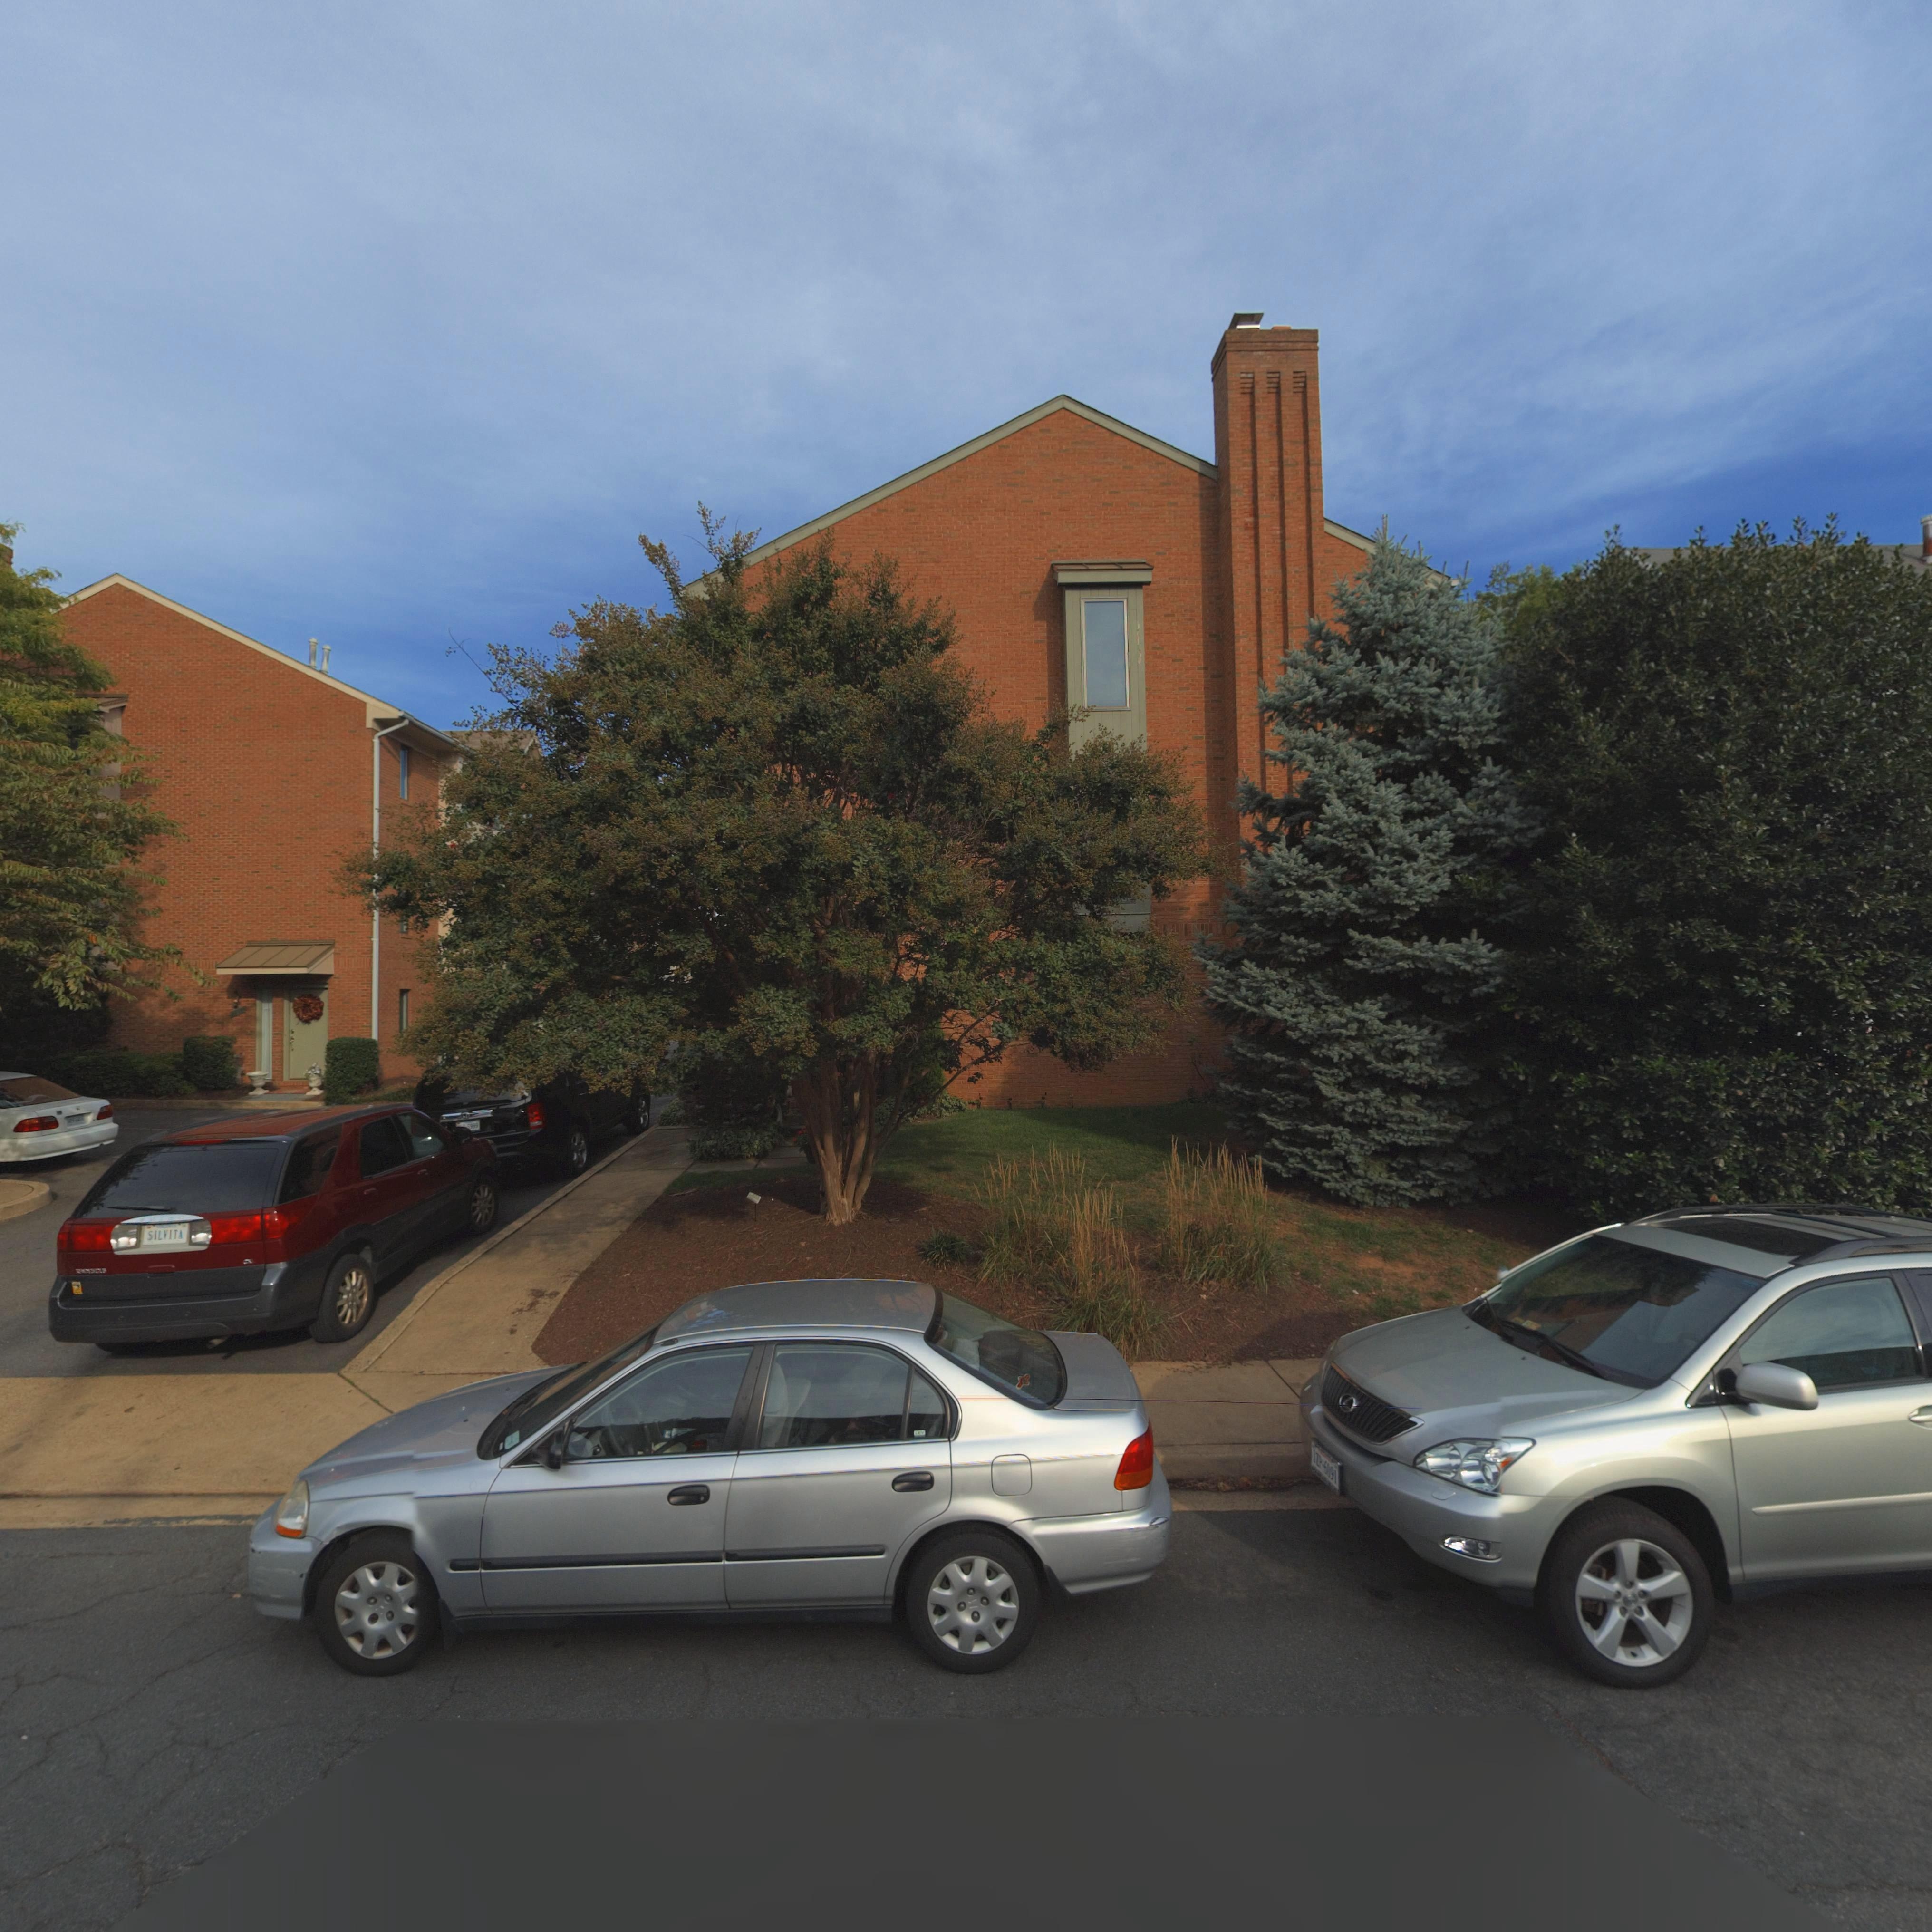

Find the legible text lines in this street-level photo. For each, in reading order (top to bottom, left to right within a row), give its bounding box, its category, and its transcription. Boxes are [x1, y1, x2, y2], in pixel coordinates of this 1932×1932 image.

[467, 1122, 479, 1129] None: 5999
[146, 1228, 184, 1241] None: SILVITA
[1312, 1448, 1338, 1486] None: ***-6091